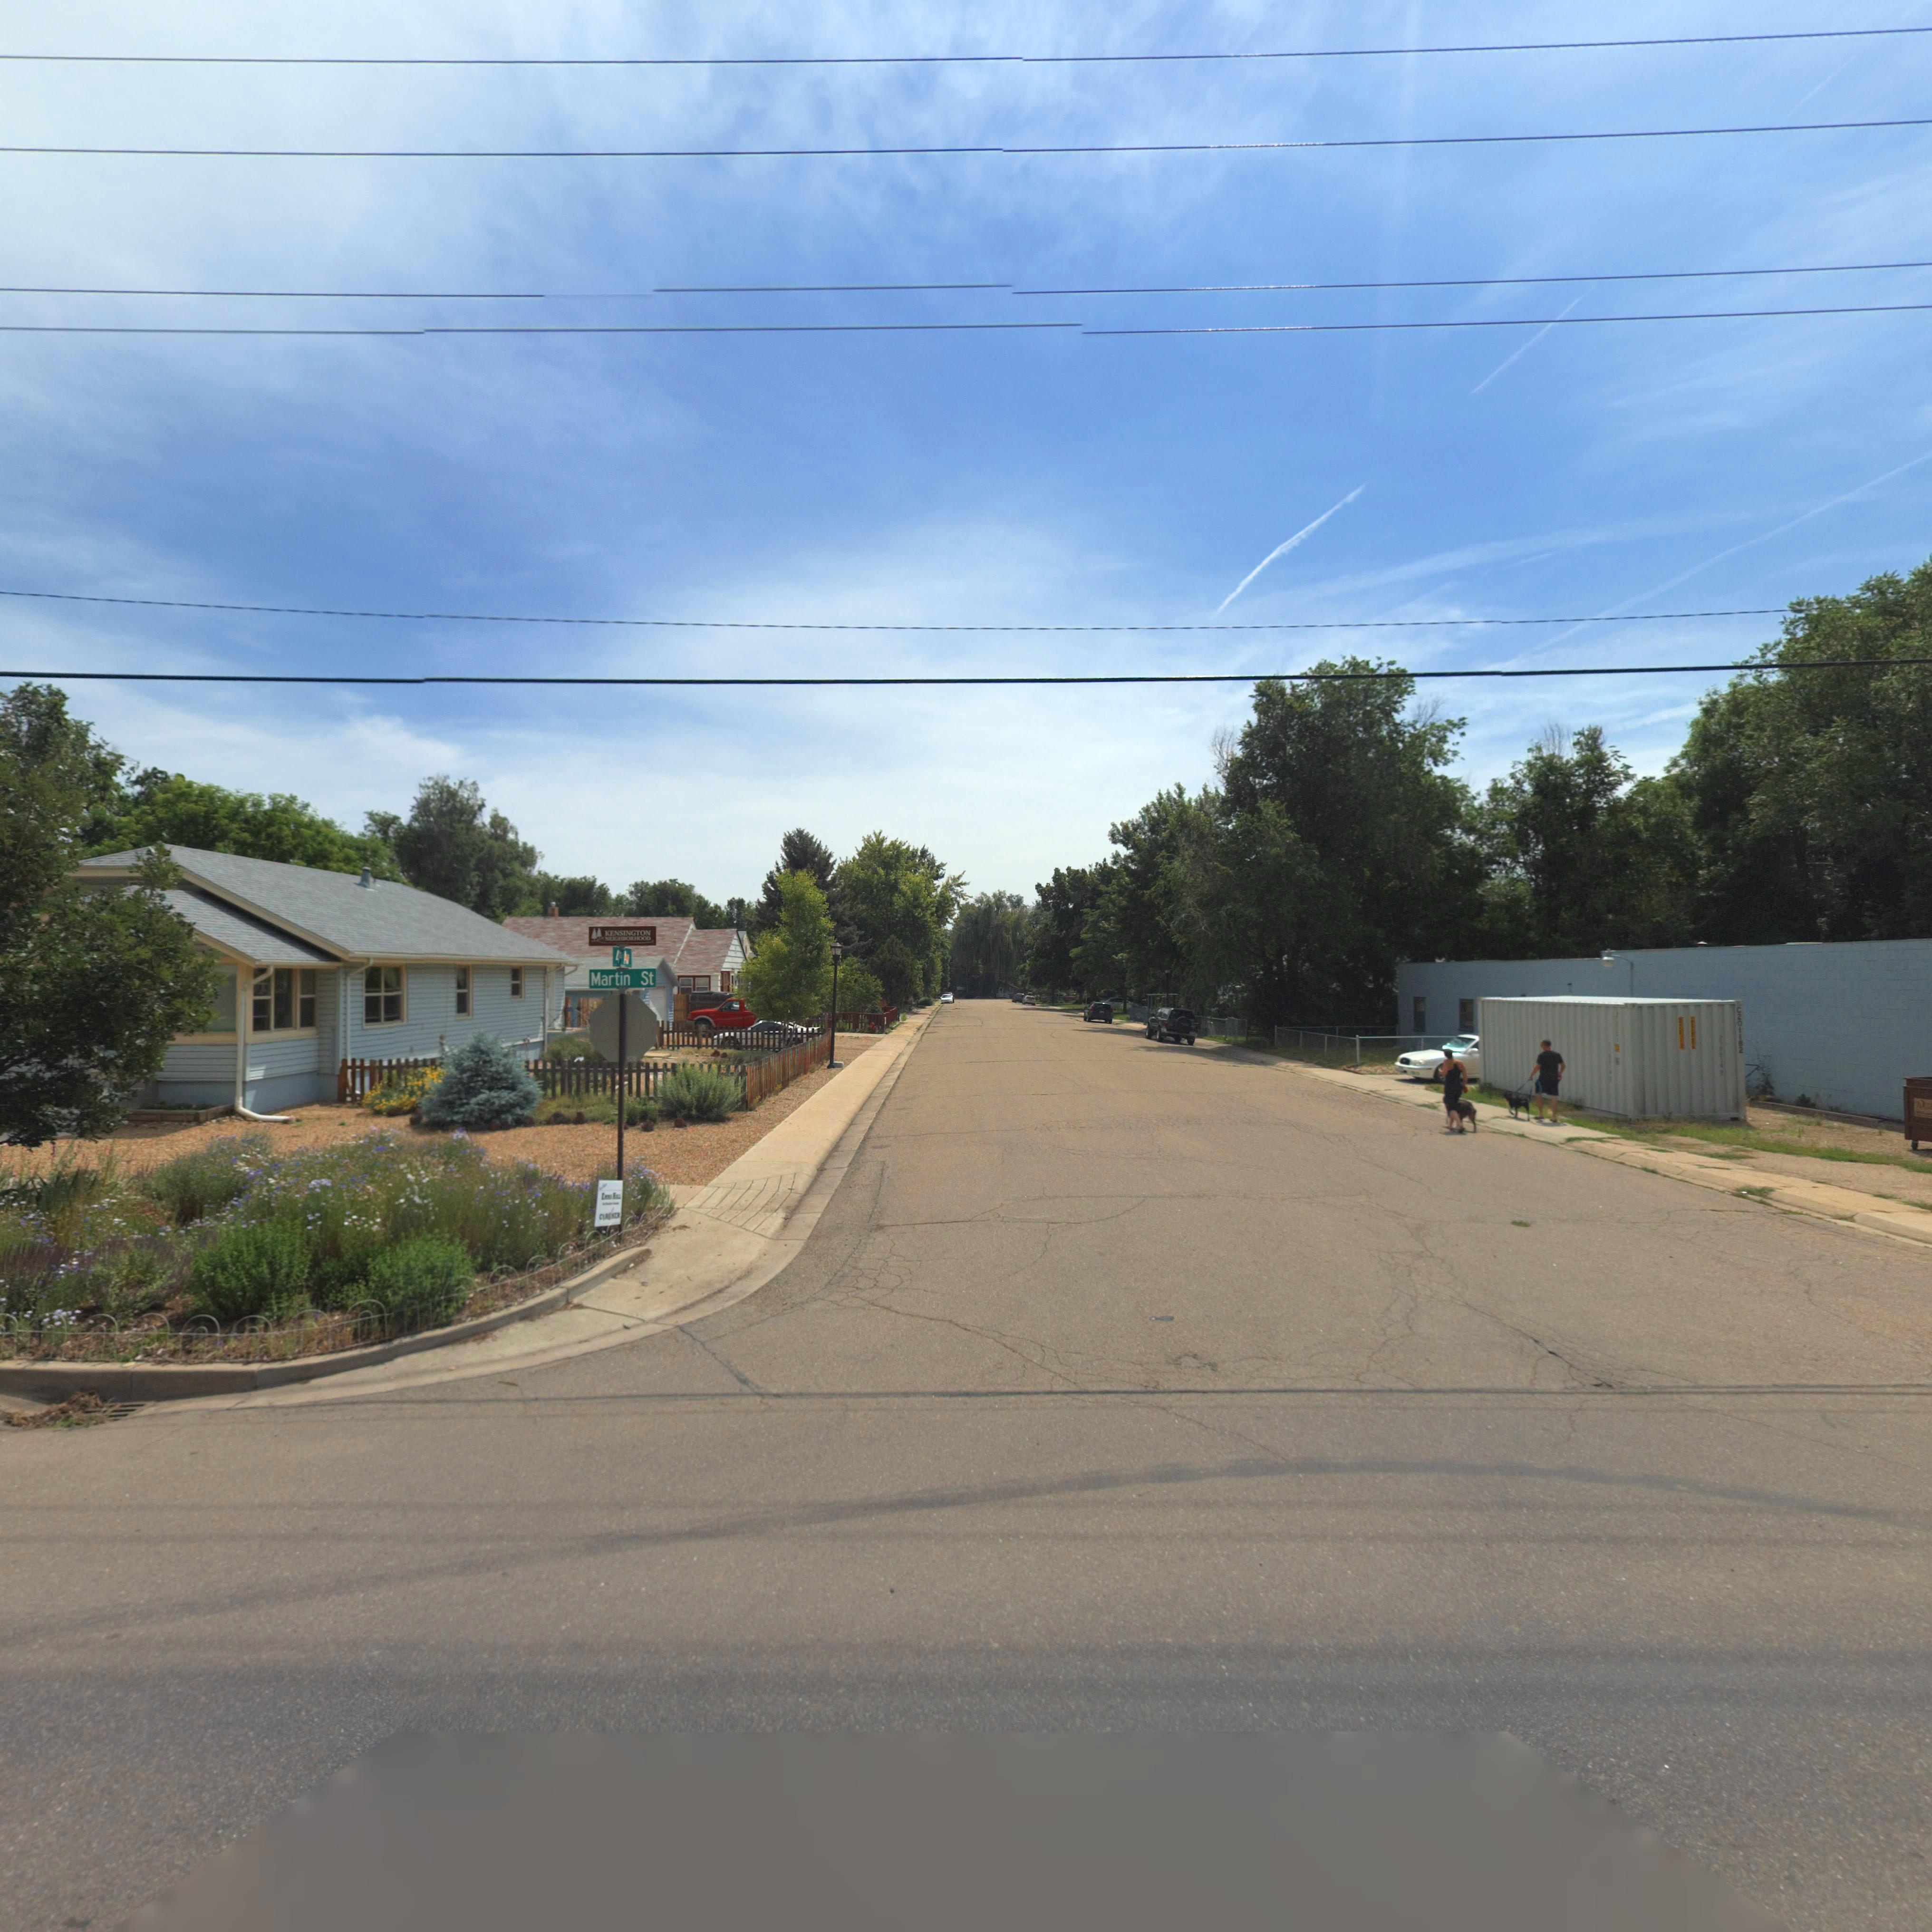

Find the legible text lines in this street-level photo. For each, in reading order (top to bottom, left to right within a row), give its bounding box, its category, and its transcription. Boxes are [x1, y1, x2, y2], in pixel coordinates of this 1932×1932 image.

[615, 949, 630, 964] StreetName: 4** Av
[590, 970, 655, 986] StreetName: Martin St